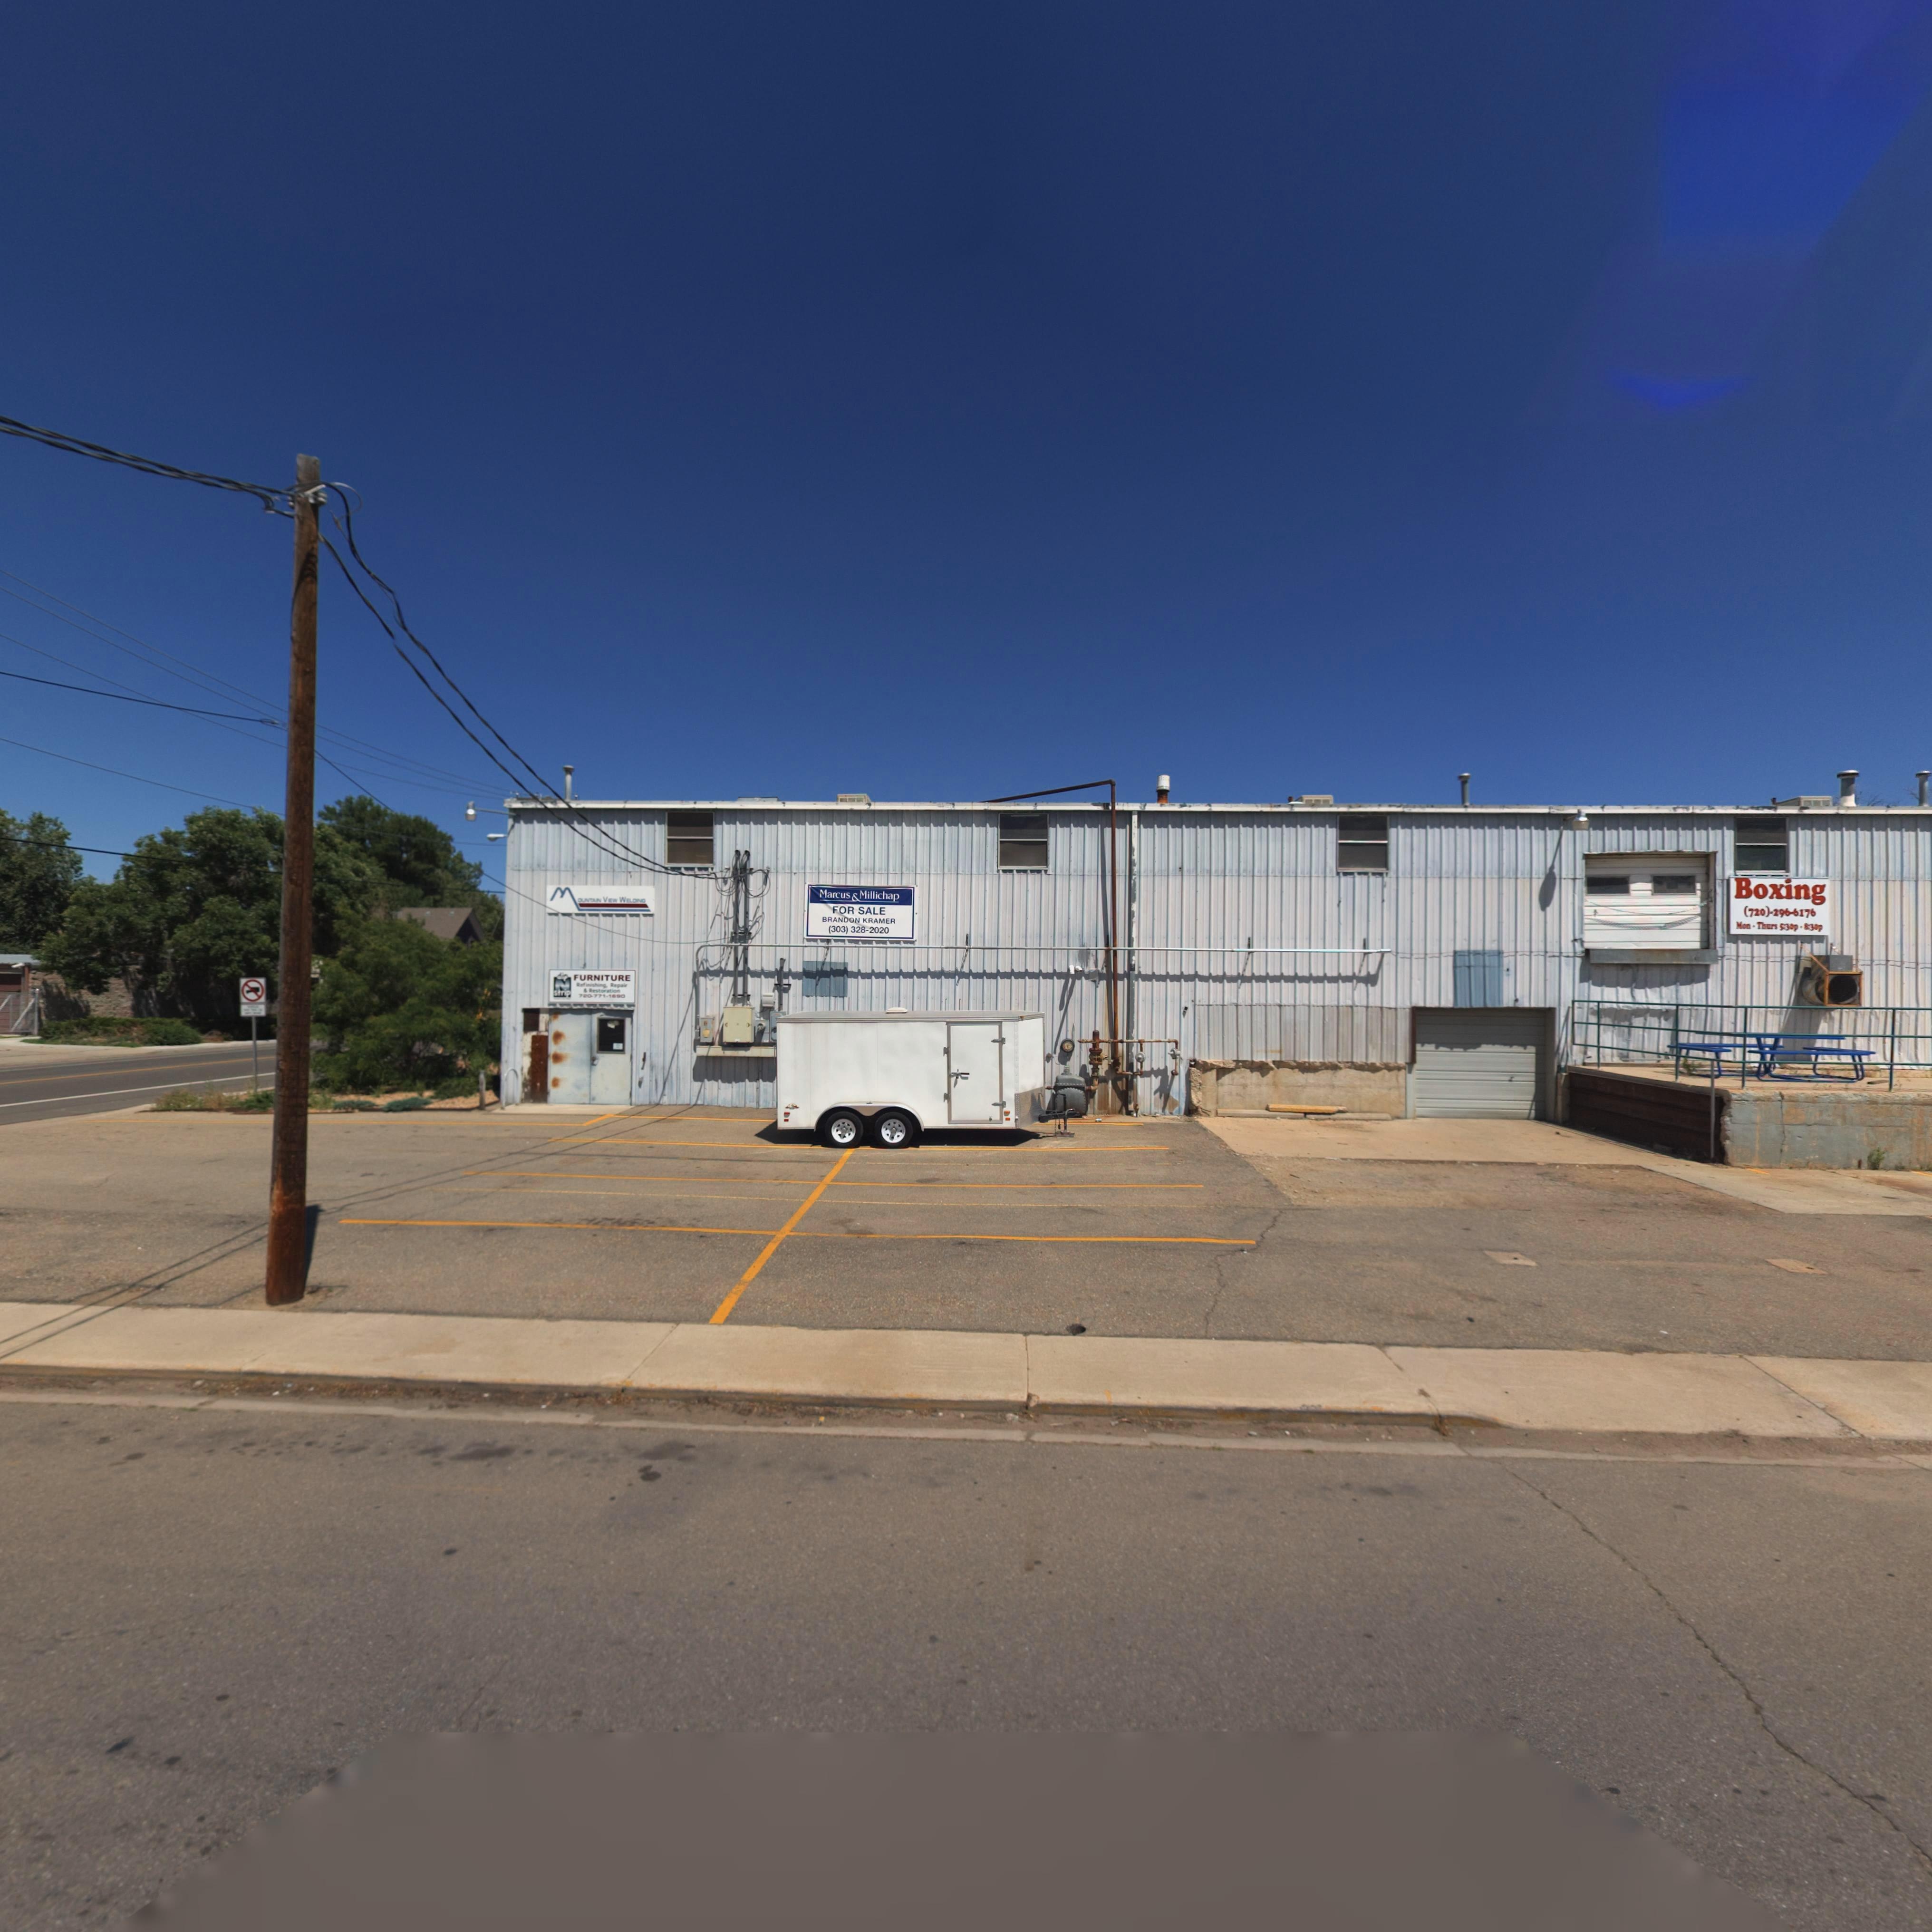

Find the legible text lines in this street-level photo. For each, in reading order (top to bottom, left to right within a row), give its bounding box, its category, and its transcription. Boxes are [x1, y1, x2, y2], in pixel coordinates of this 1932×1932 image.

[577, 896, 646, 903] BusinessName: OUNTA*N V*EW WELDING
[556, 972, 568, 981] BusinessName: dip
[573, 974, 630, 981] BusinessName: FURNITURE
[553, 988, 571, 999] BusinessName: strip